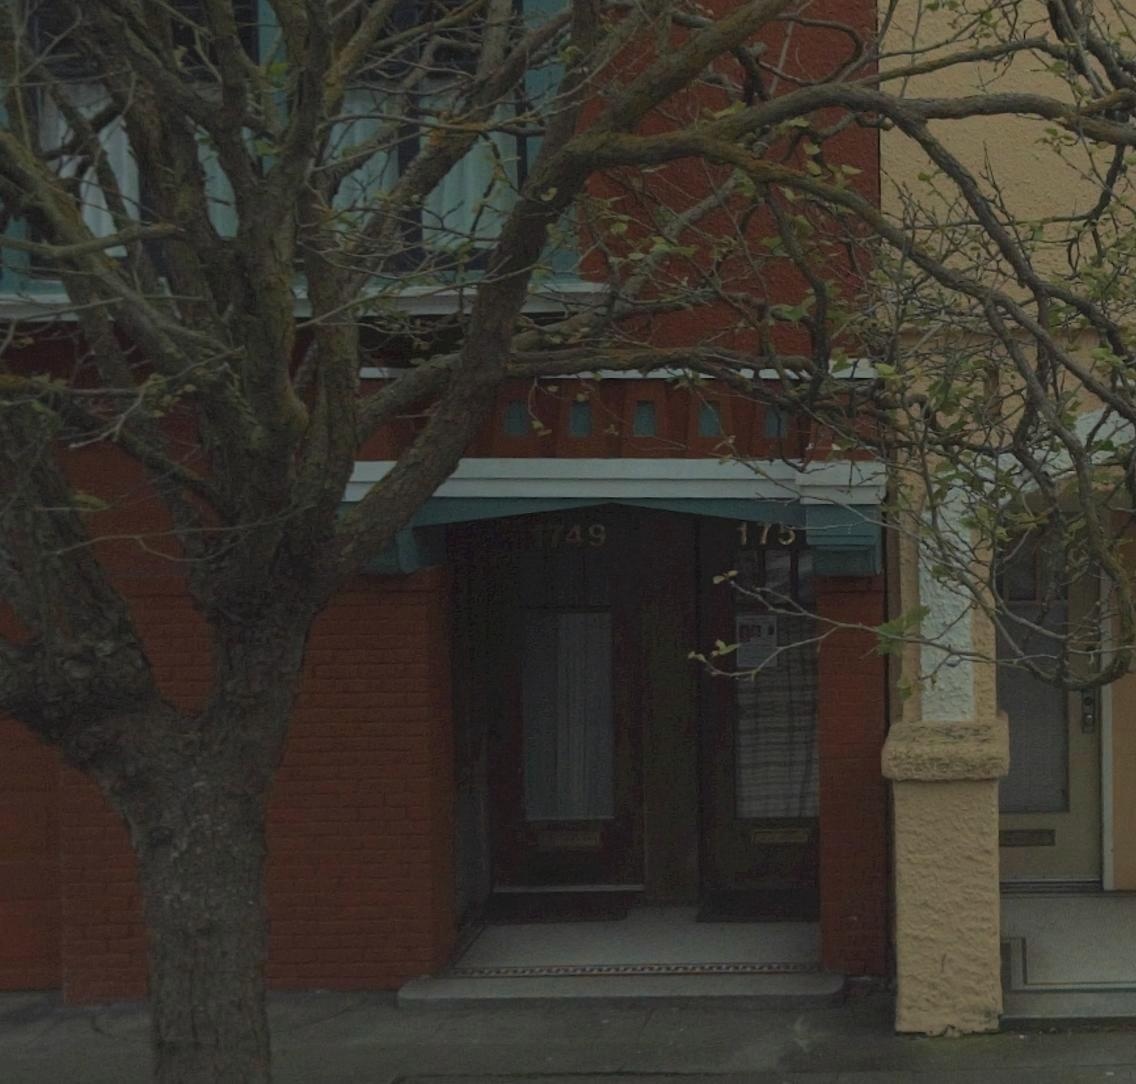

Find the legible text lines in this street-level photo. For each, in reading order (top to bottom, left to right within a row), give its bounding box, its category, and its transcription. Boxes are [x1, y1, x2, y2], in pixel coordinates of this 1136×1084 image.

[535, 523, 608, 550] StreetNumber: 1749
[735, 520, 798, 546] StreetNumber: 17*